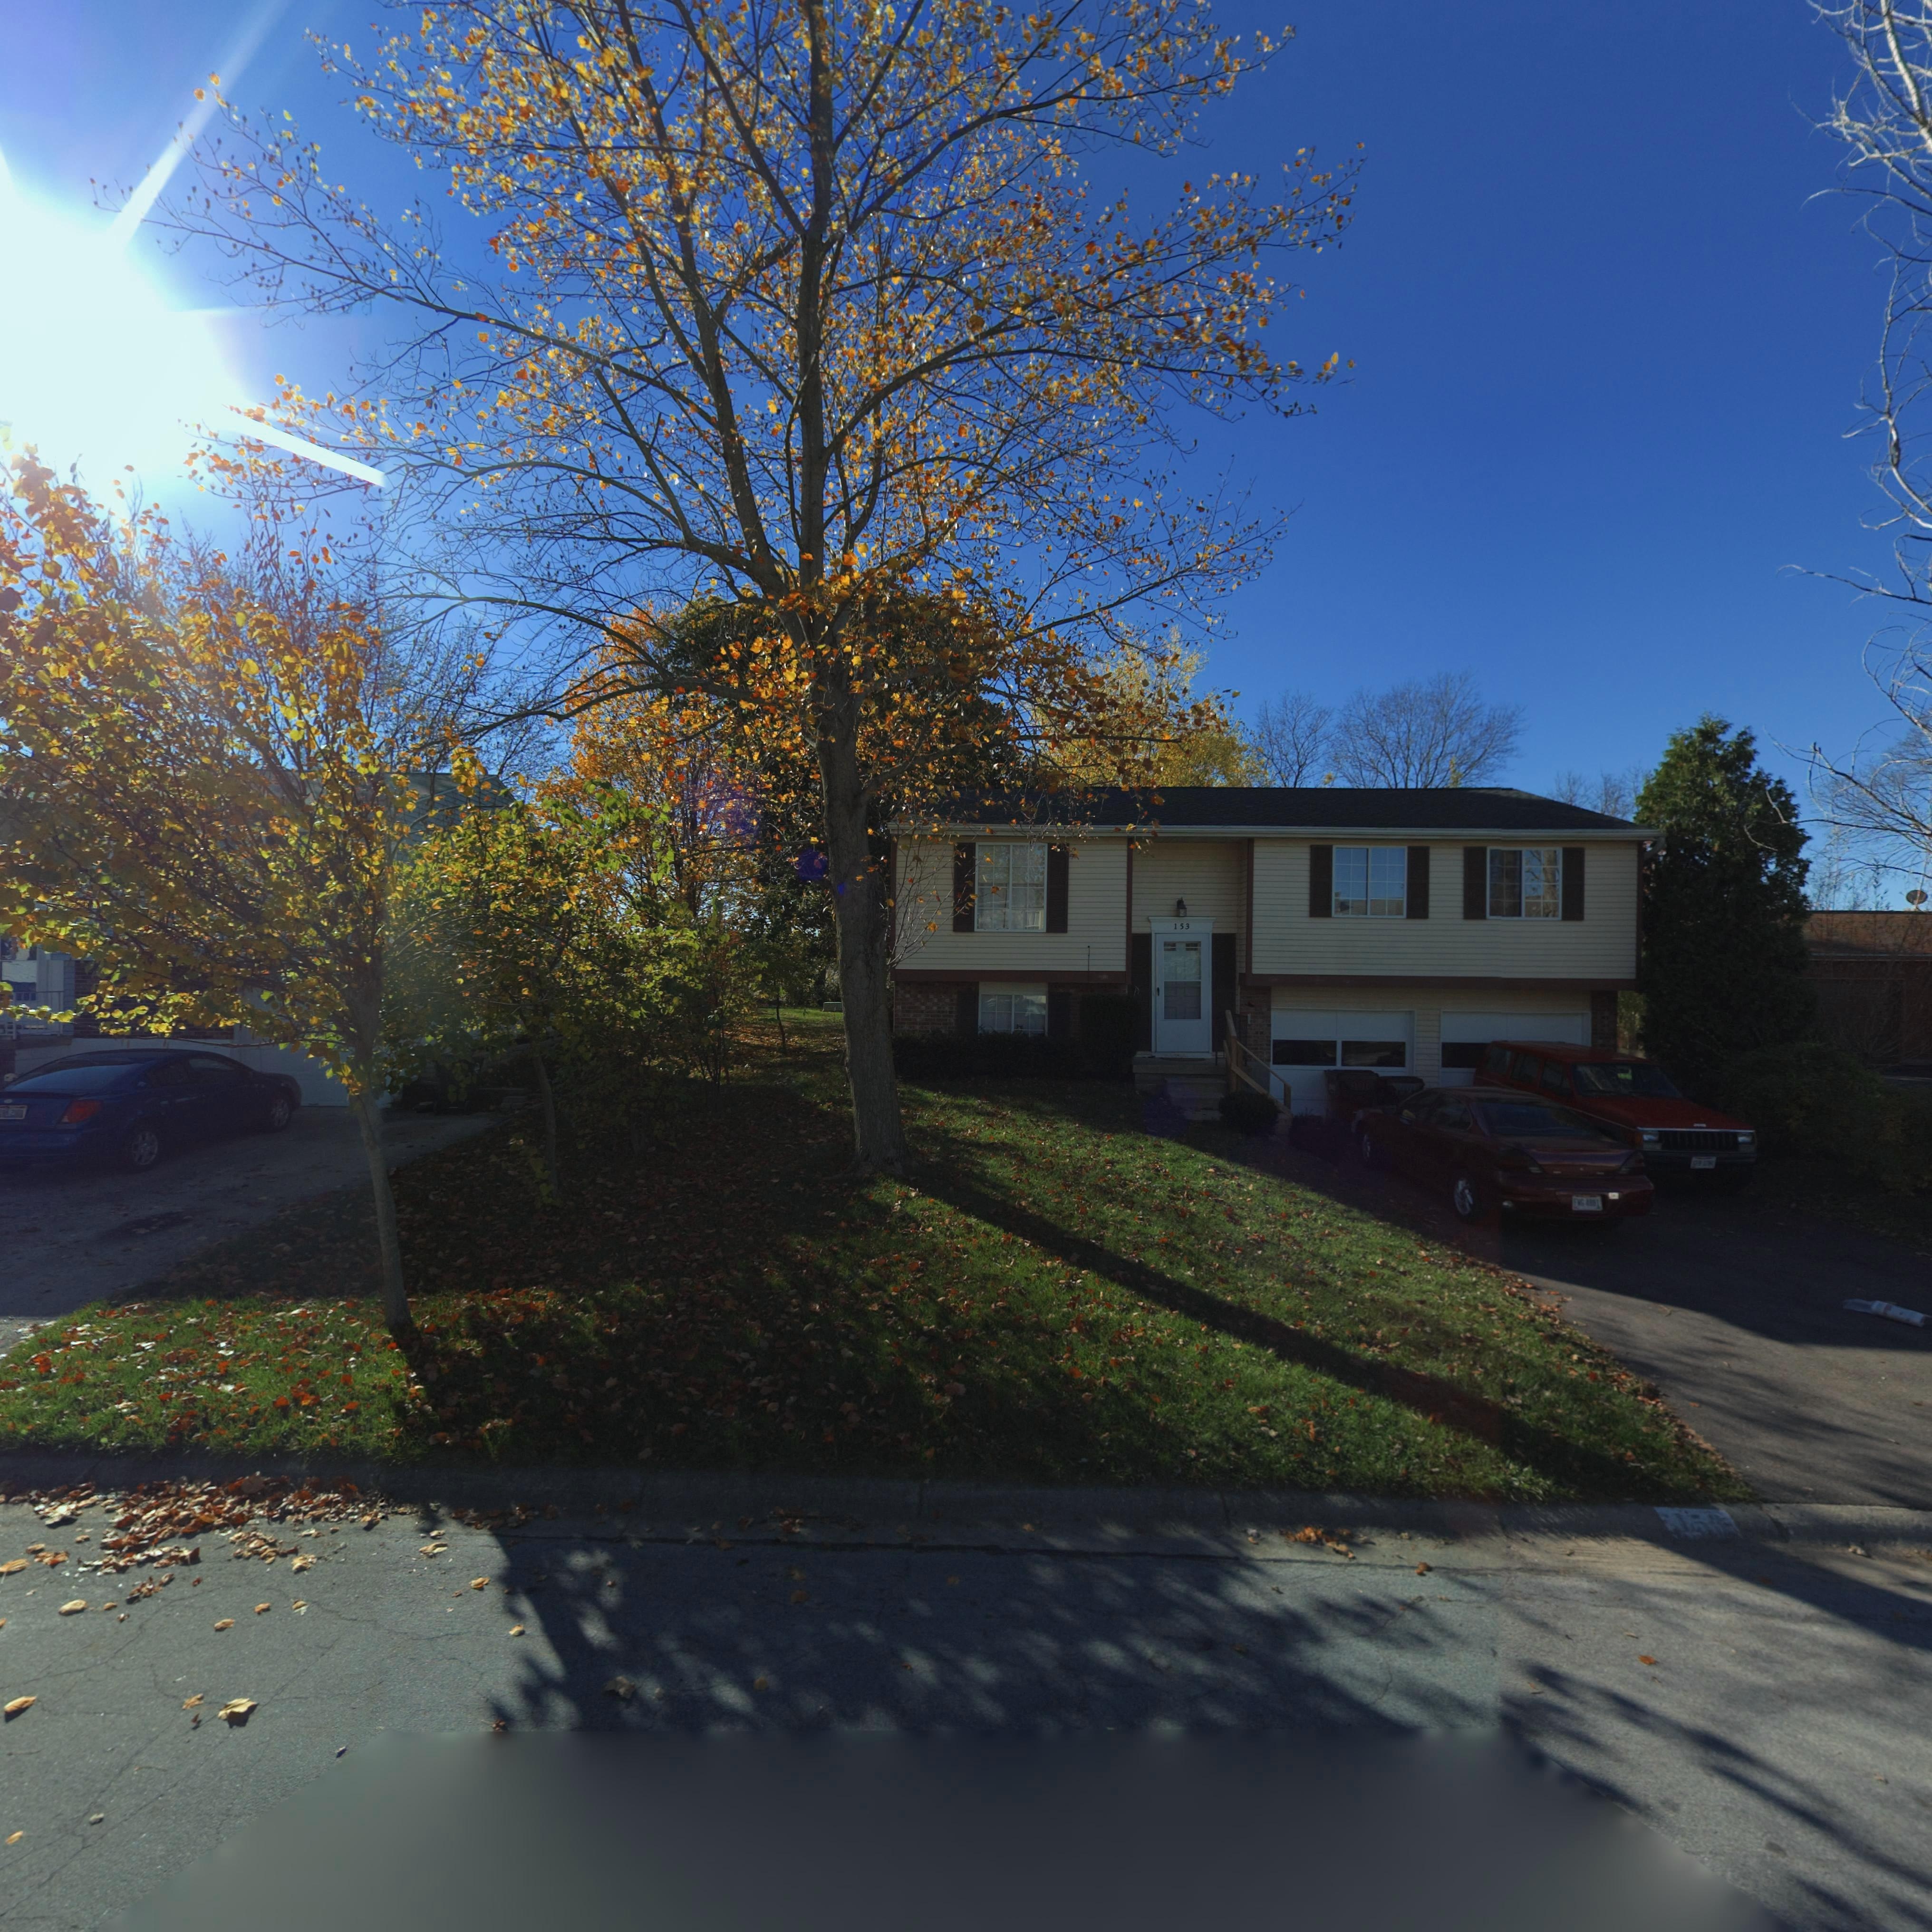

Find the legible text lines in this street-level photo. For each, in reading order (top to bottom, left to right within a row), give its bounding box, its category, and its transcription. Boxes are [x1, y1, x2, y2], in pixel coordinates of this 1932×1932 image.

[1173, 922, 1190, 930] StreetNumber: 153